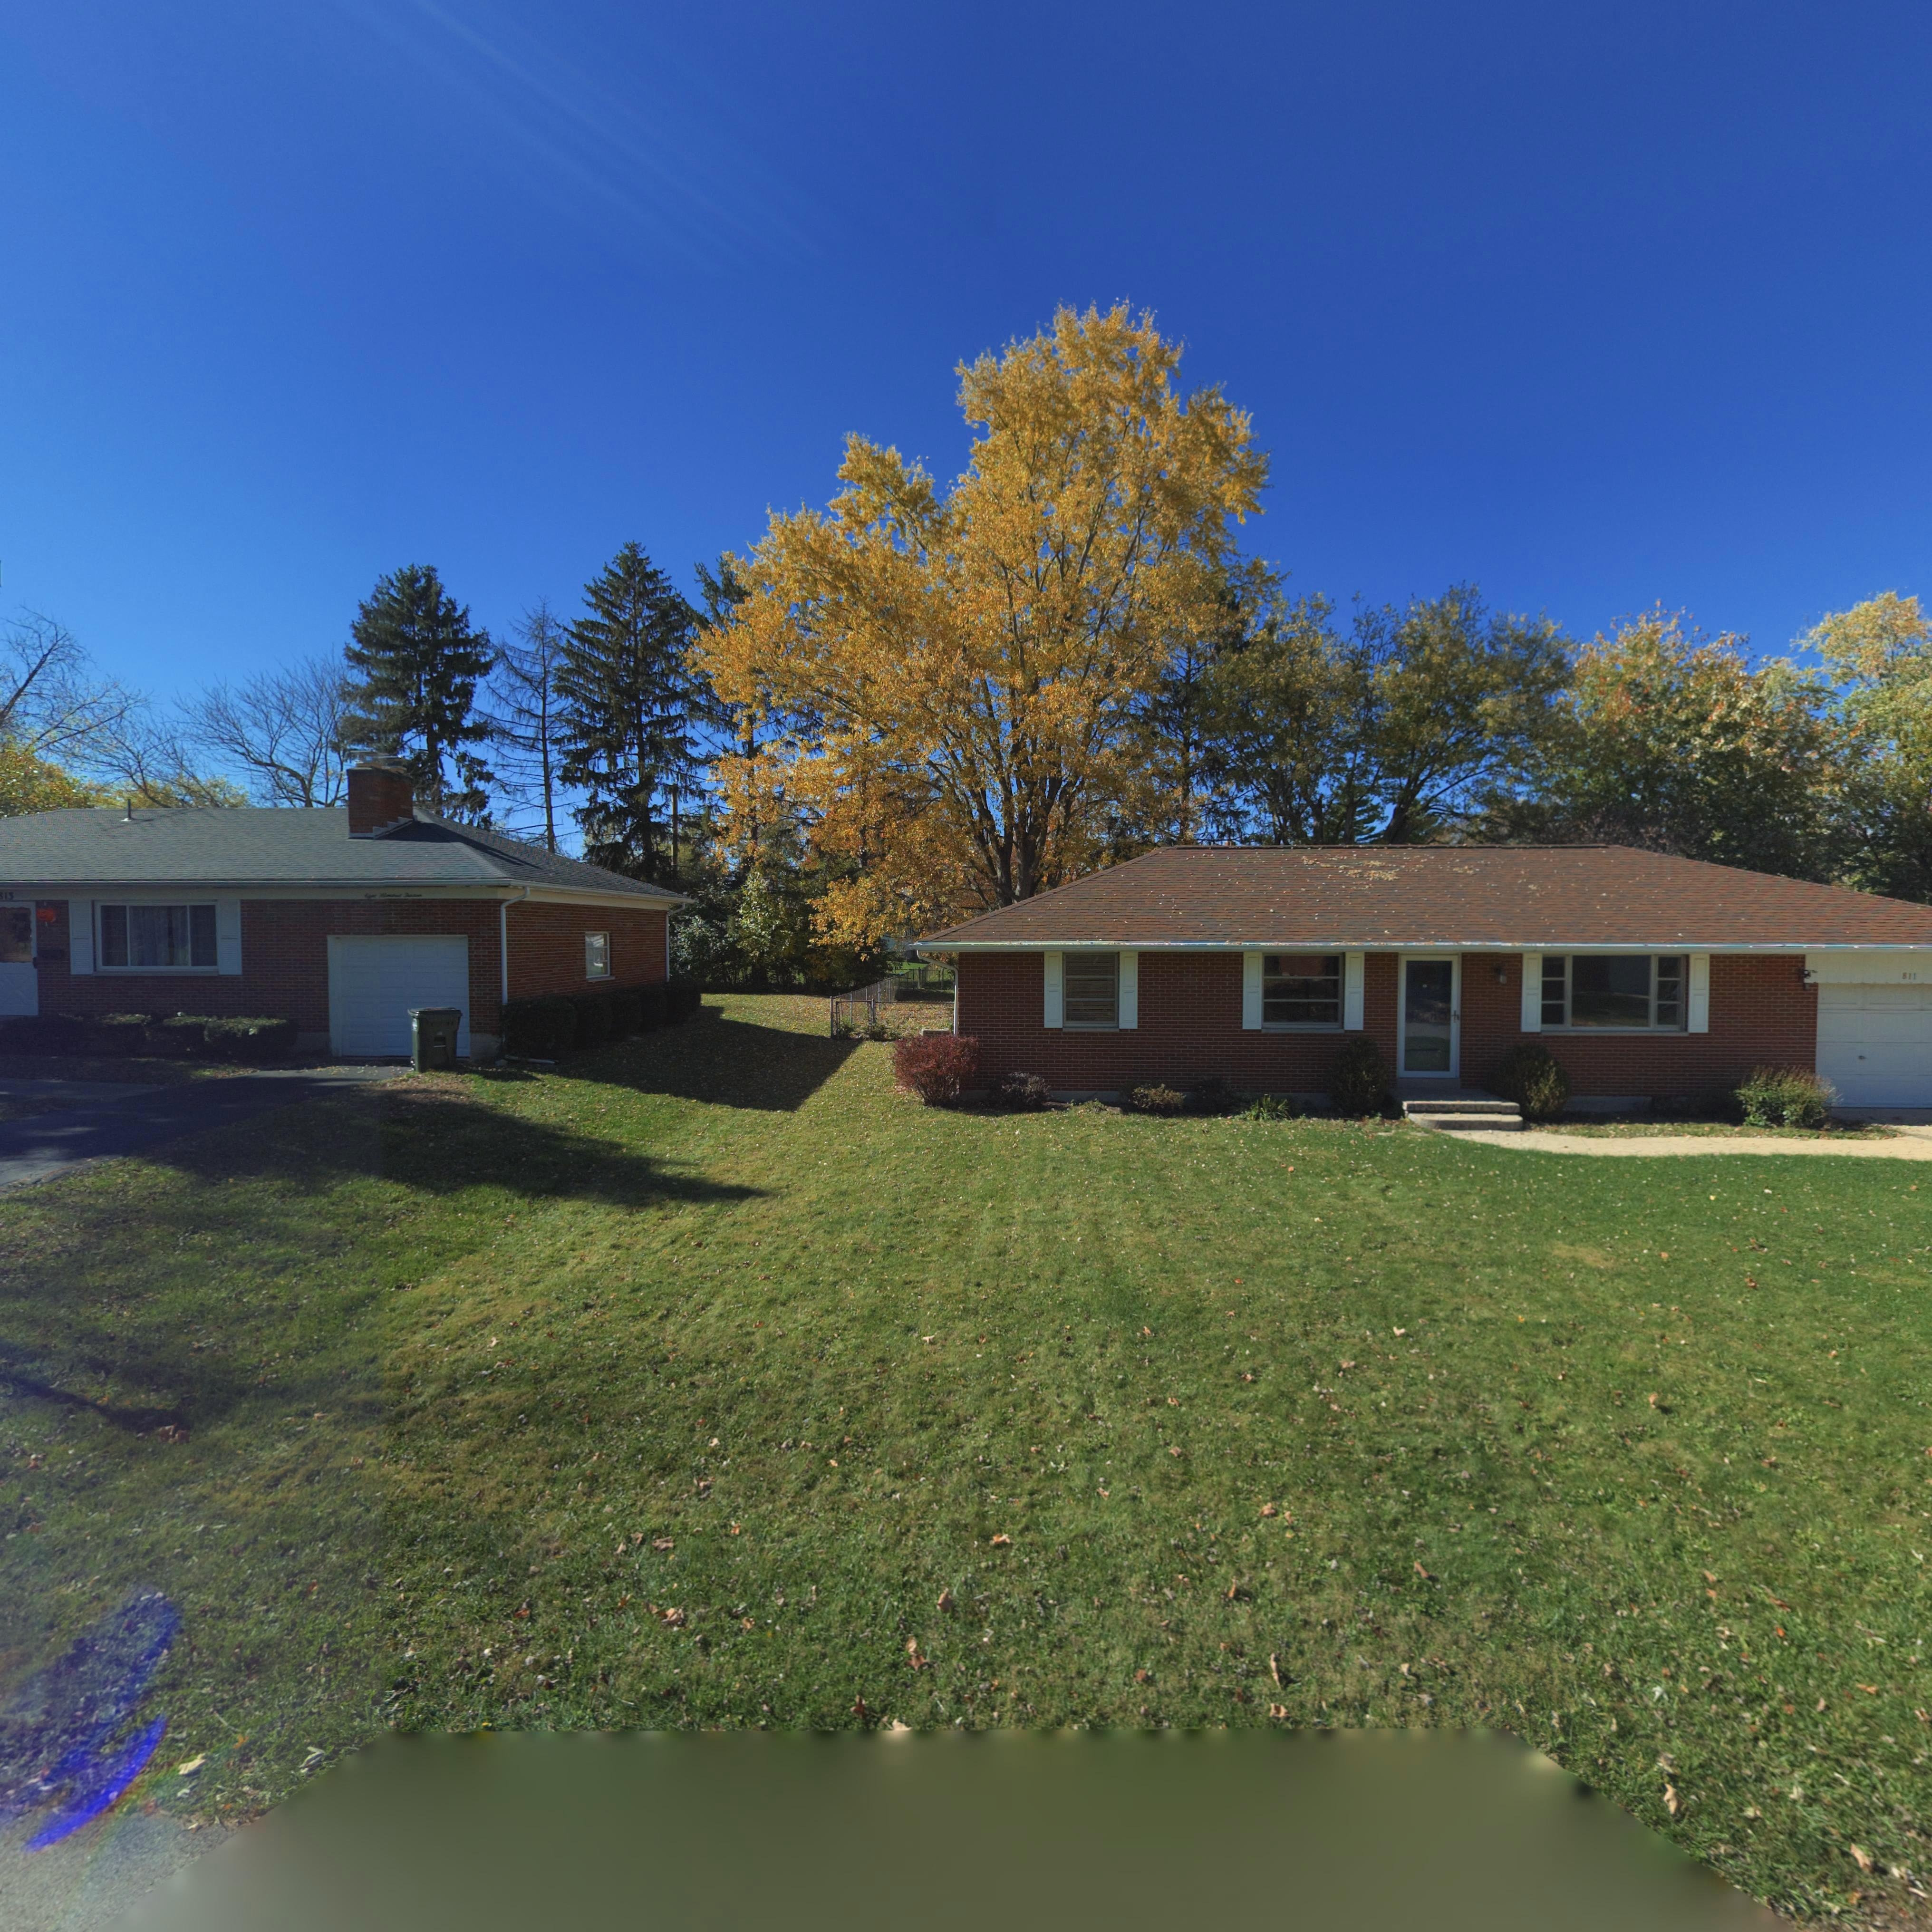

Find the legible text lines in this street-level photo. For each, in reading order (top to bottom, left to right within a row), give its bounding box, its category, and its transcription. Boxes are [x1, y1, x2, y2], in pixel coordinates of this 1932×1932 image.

[0, 891, 15, 901] StreetNumber: *13
[1901, 971, 1917, 981] StreetNumber: 811